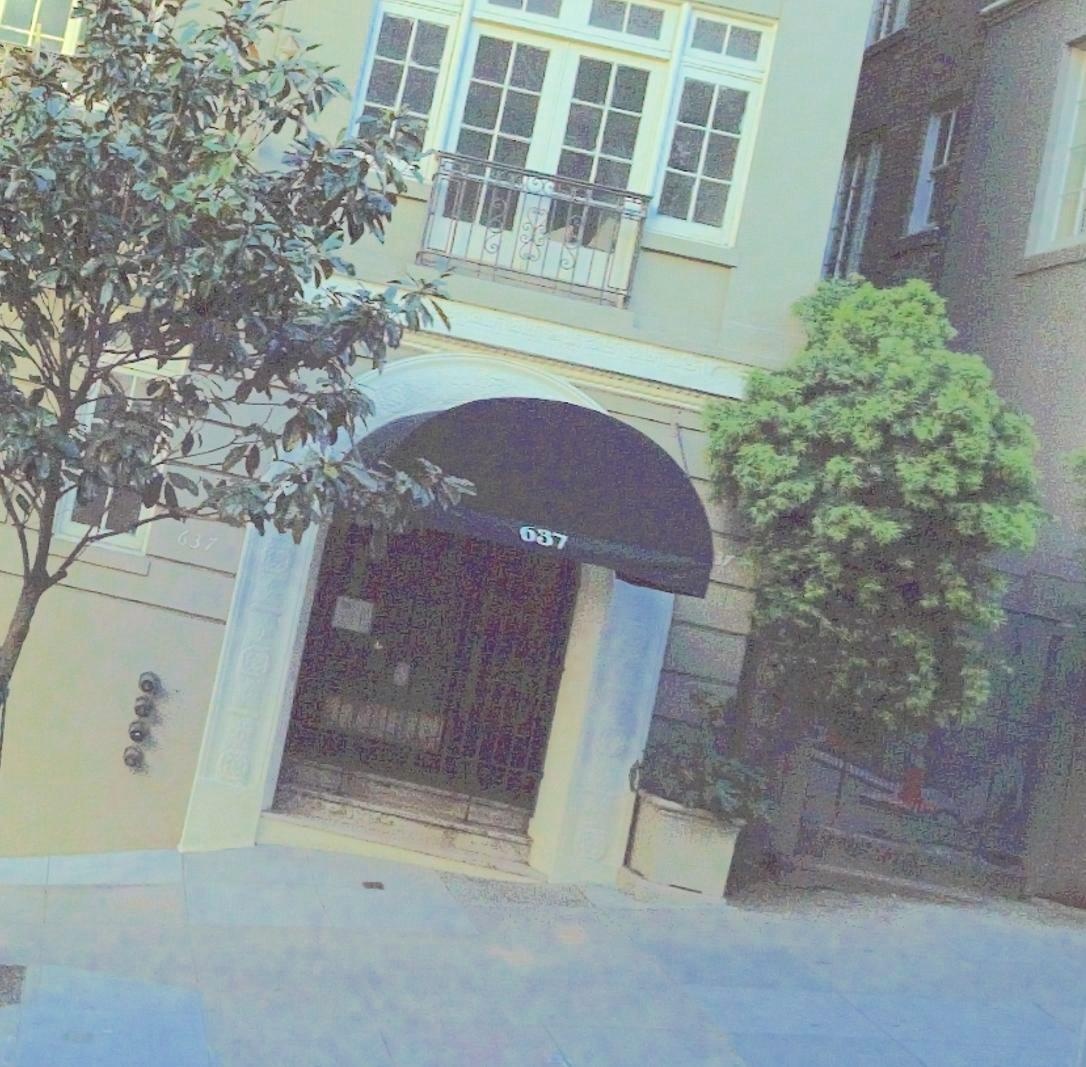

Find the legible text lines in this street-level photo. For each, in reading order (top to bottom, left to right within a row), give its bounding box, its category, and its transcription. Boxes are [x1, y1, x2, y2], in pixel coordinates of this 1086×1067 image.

[171, 525, 222, 553] StreetNumber: 637
[517, 520, 572, 552] StreetNumber: 637